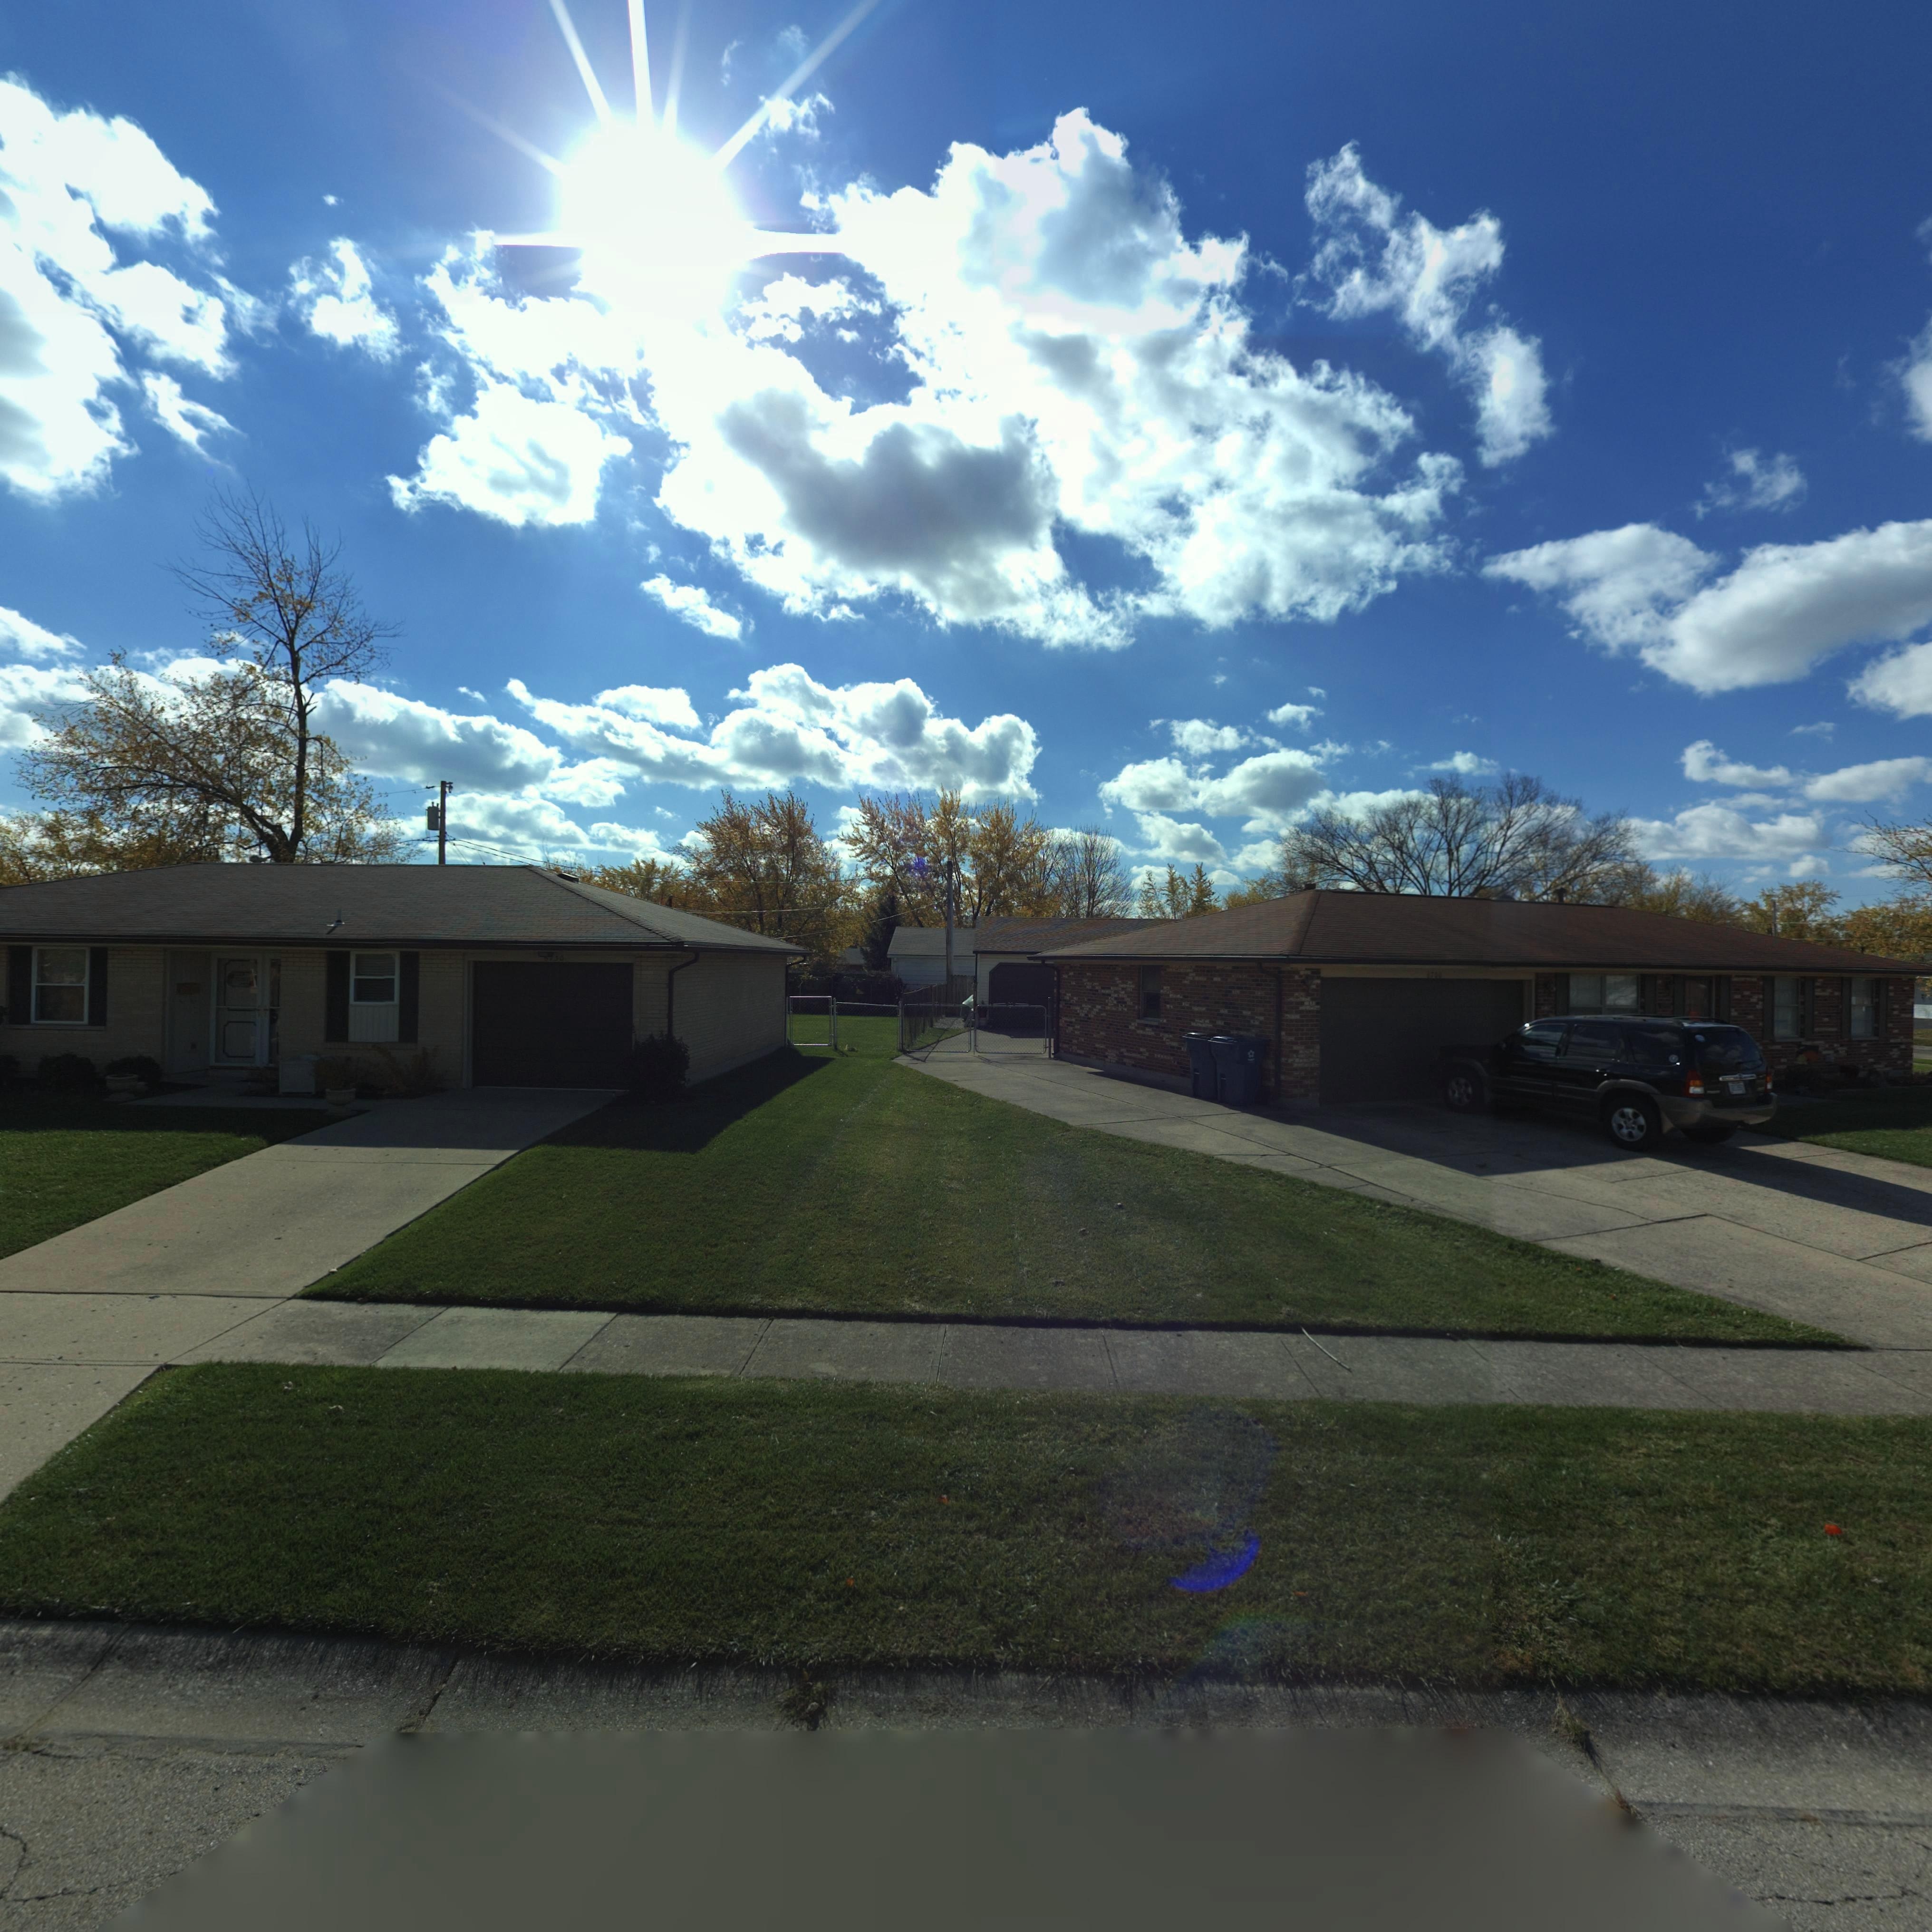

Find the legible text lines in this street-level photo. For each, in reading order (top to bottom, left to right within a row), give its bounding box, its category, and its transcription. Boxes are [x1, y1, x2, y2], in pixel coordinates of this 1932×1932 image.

[553, 954, 564, 962] StreetNumber: 50
[1425, 970, 1443, 979] StreetNumber: 6700